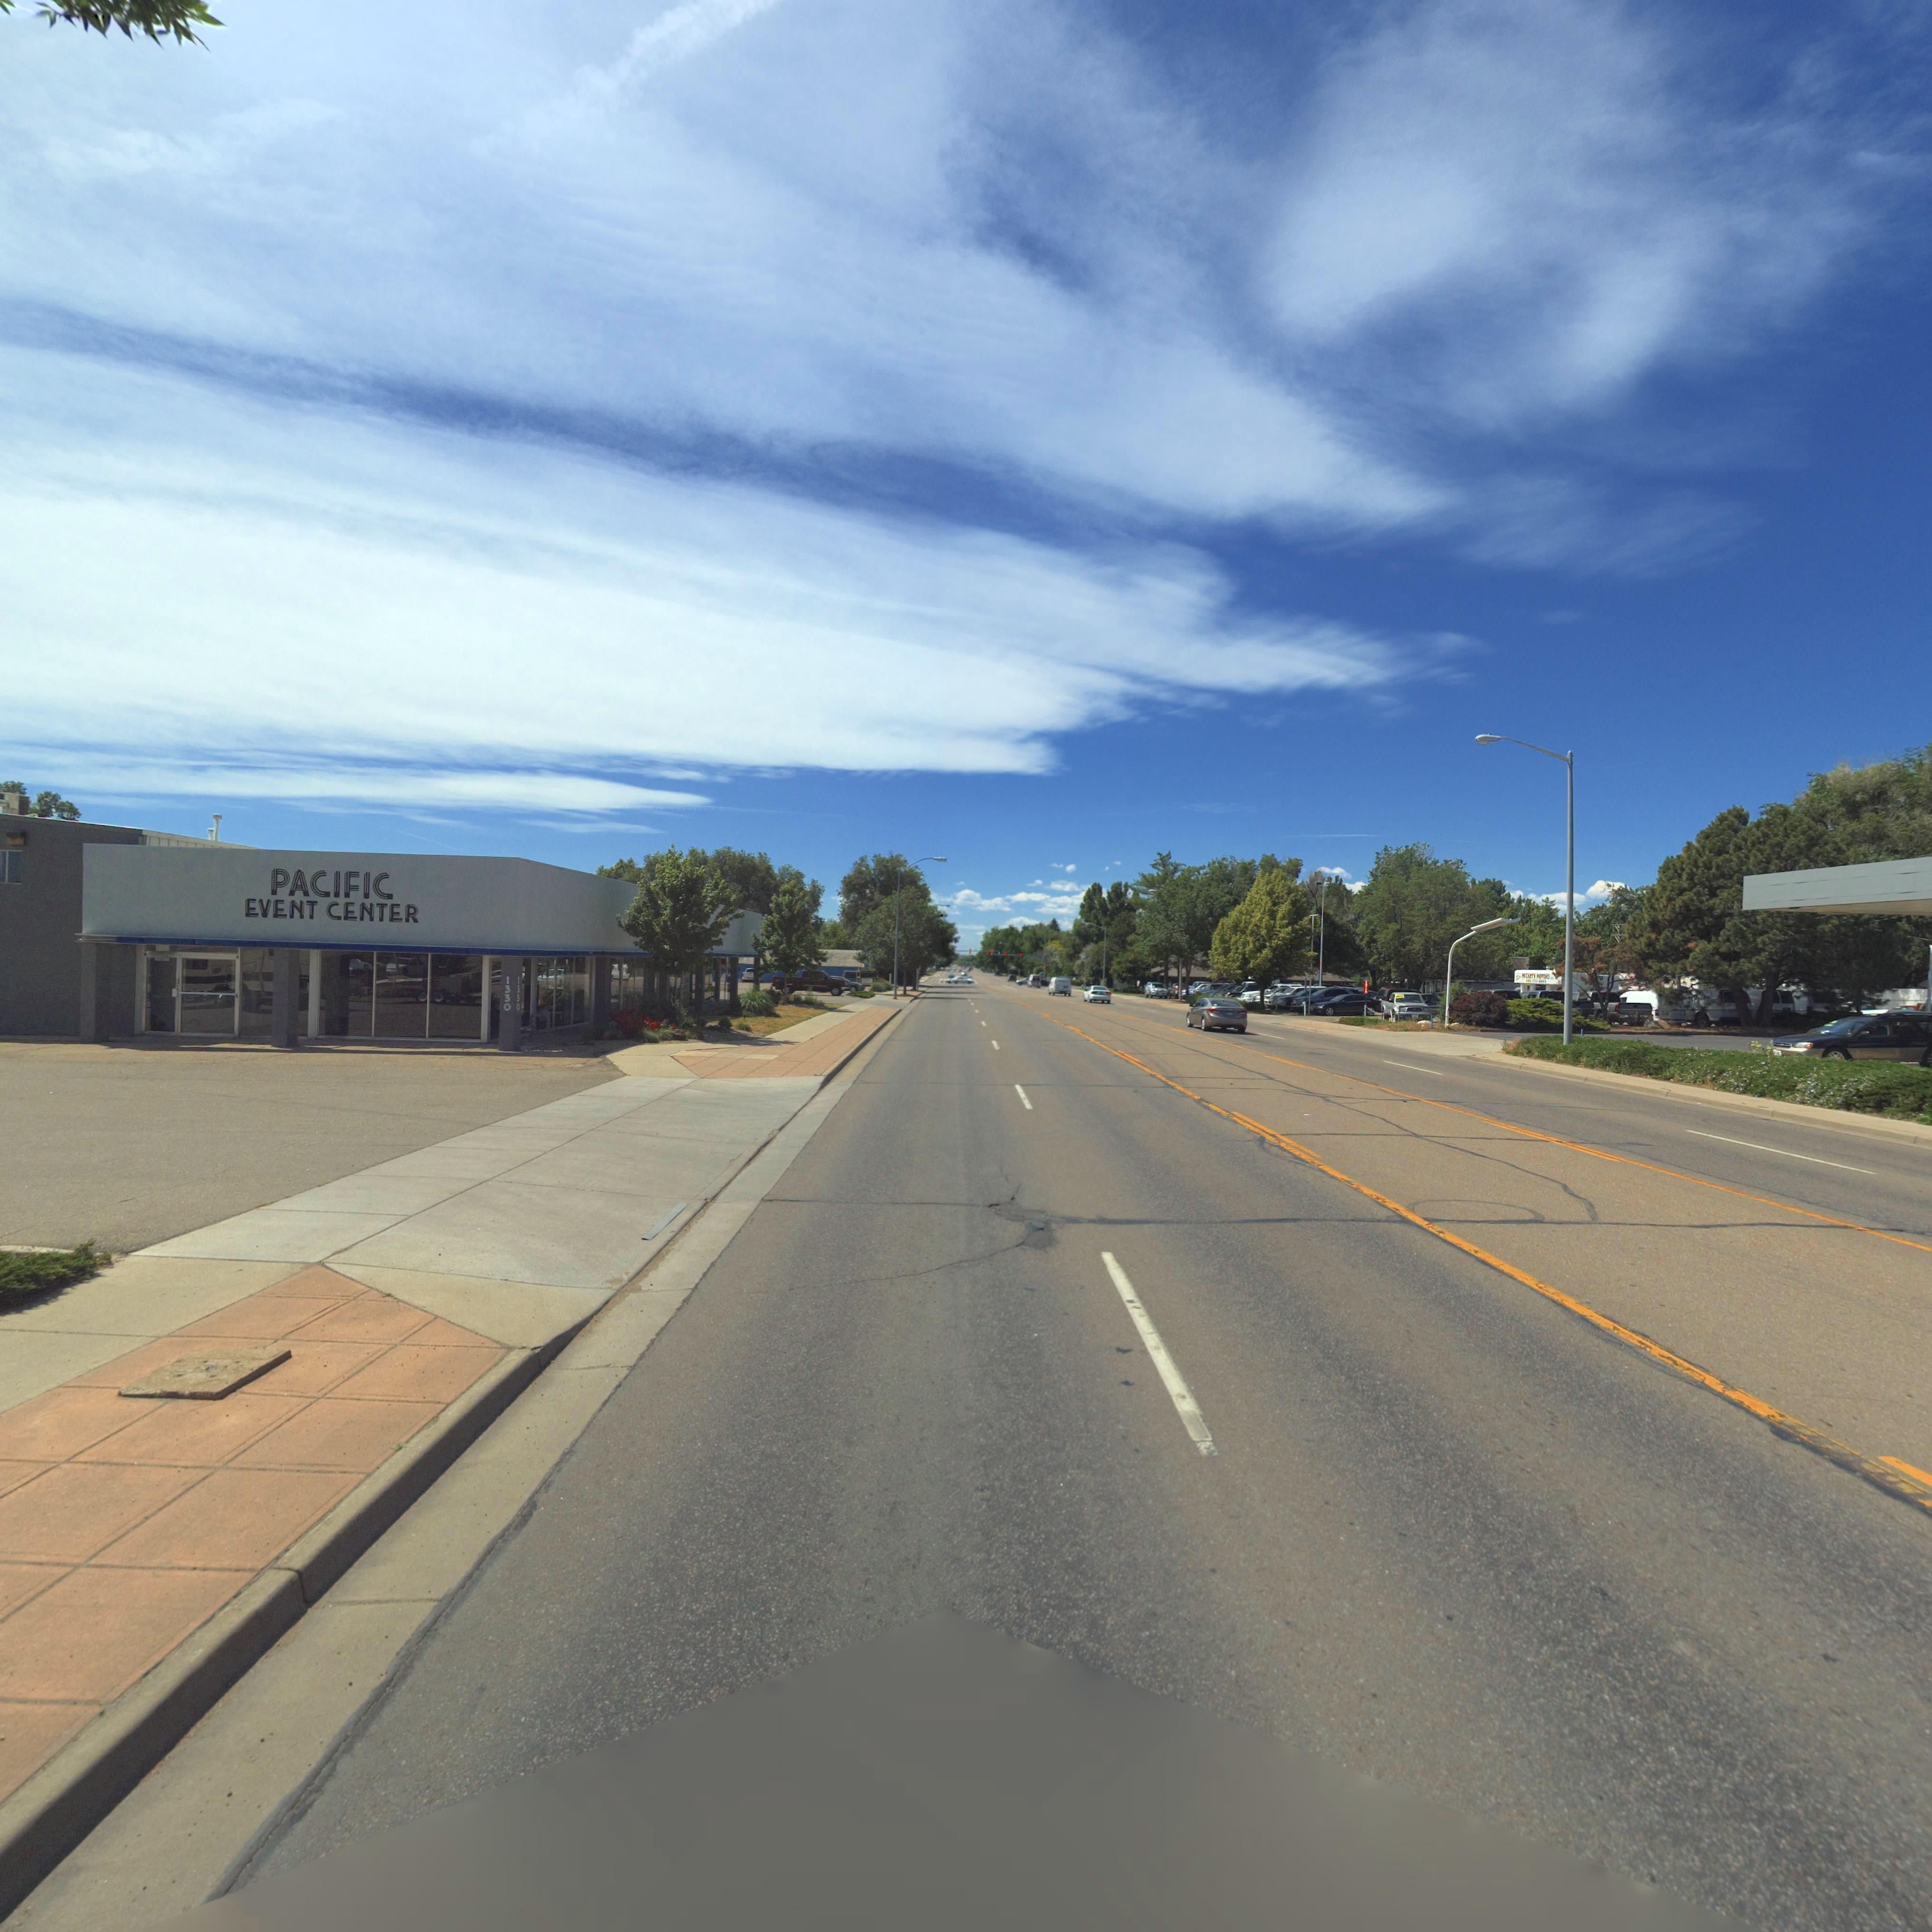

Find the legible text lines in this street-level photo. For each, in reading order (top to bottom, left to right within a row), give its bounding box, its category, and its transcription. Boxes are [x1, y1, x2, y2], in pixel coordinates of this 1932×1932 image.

[270, 867, 395, 900] BusinessName: PACIFIC
[244, 897, 421, 924] BusinessName: EVENT CENTER
[1522, 973, 1550, 979] BusinessName: M*CART* MO**RS
[502, 975, 511, 1012] StreetNumber: 1330
[515, 976, 520, 1011] StreetNumber: 1330